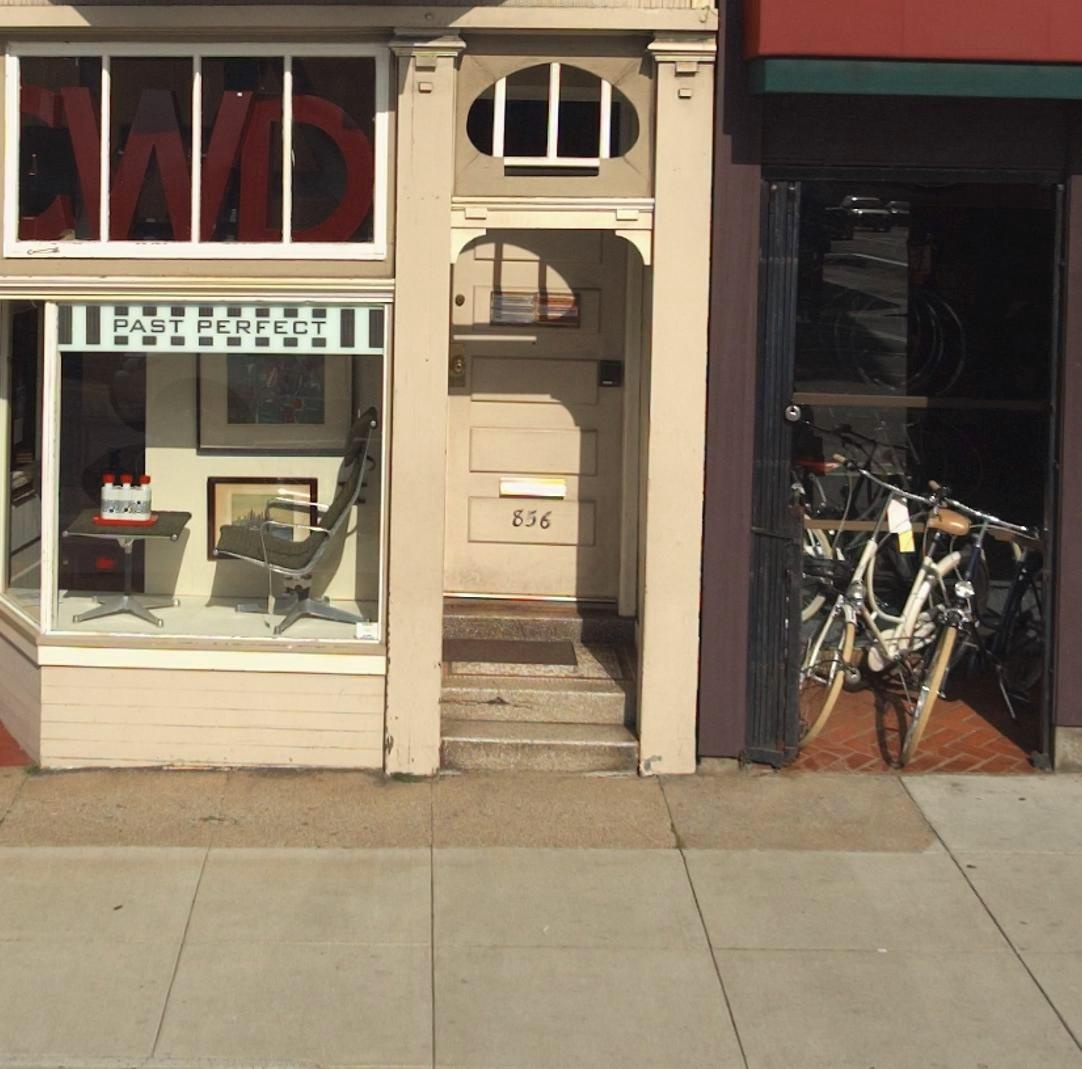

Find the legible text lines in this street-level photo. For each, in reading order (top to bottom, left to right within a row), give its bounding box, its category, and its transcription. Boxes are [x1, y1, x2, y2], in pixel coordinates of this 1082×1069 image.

[113, 318, 327, 335] BusinessName: PAST PERFECT
[511, 508, 552, 529] StreetNumber: 856